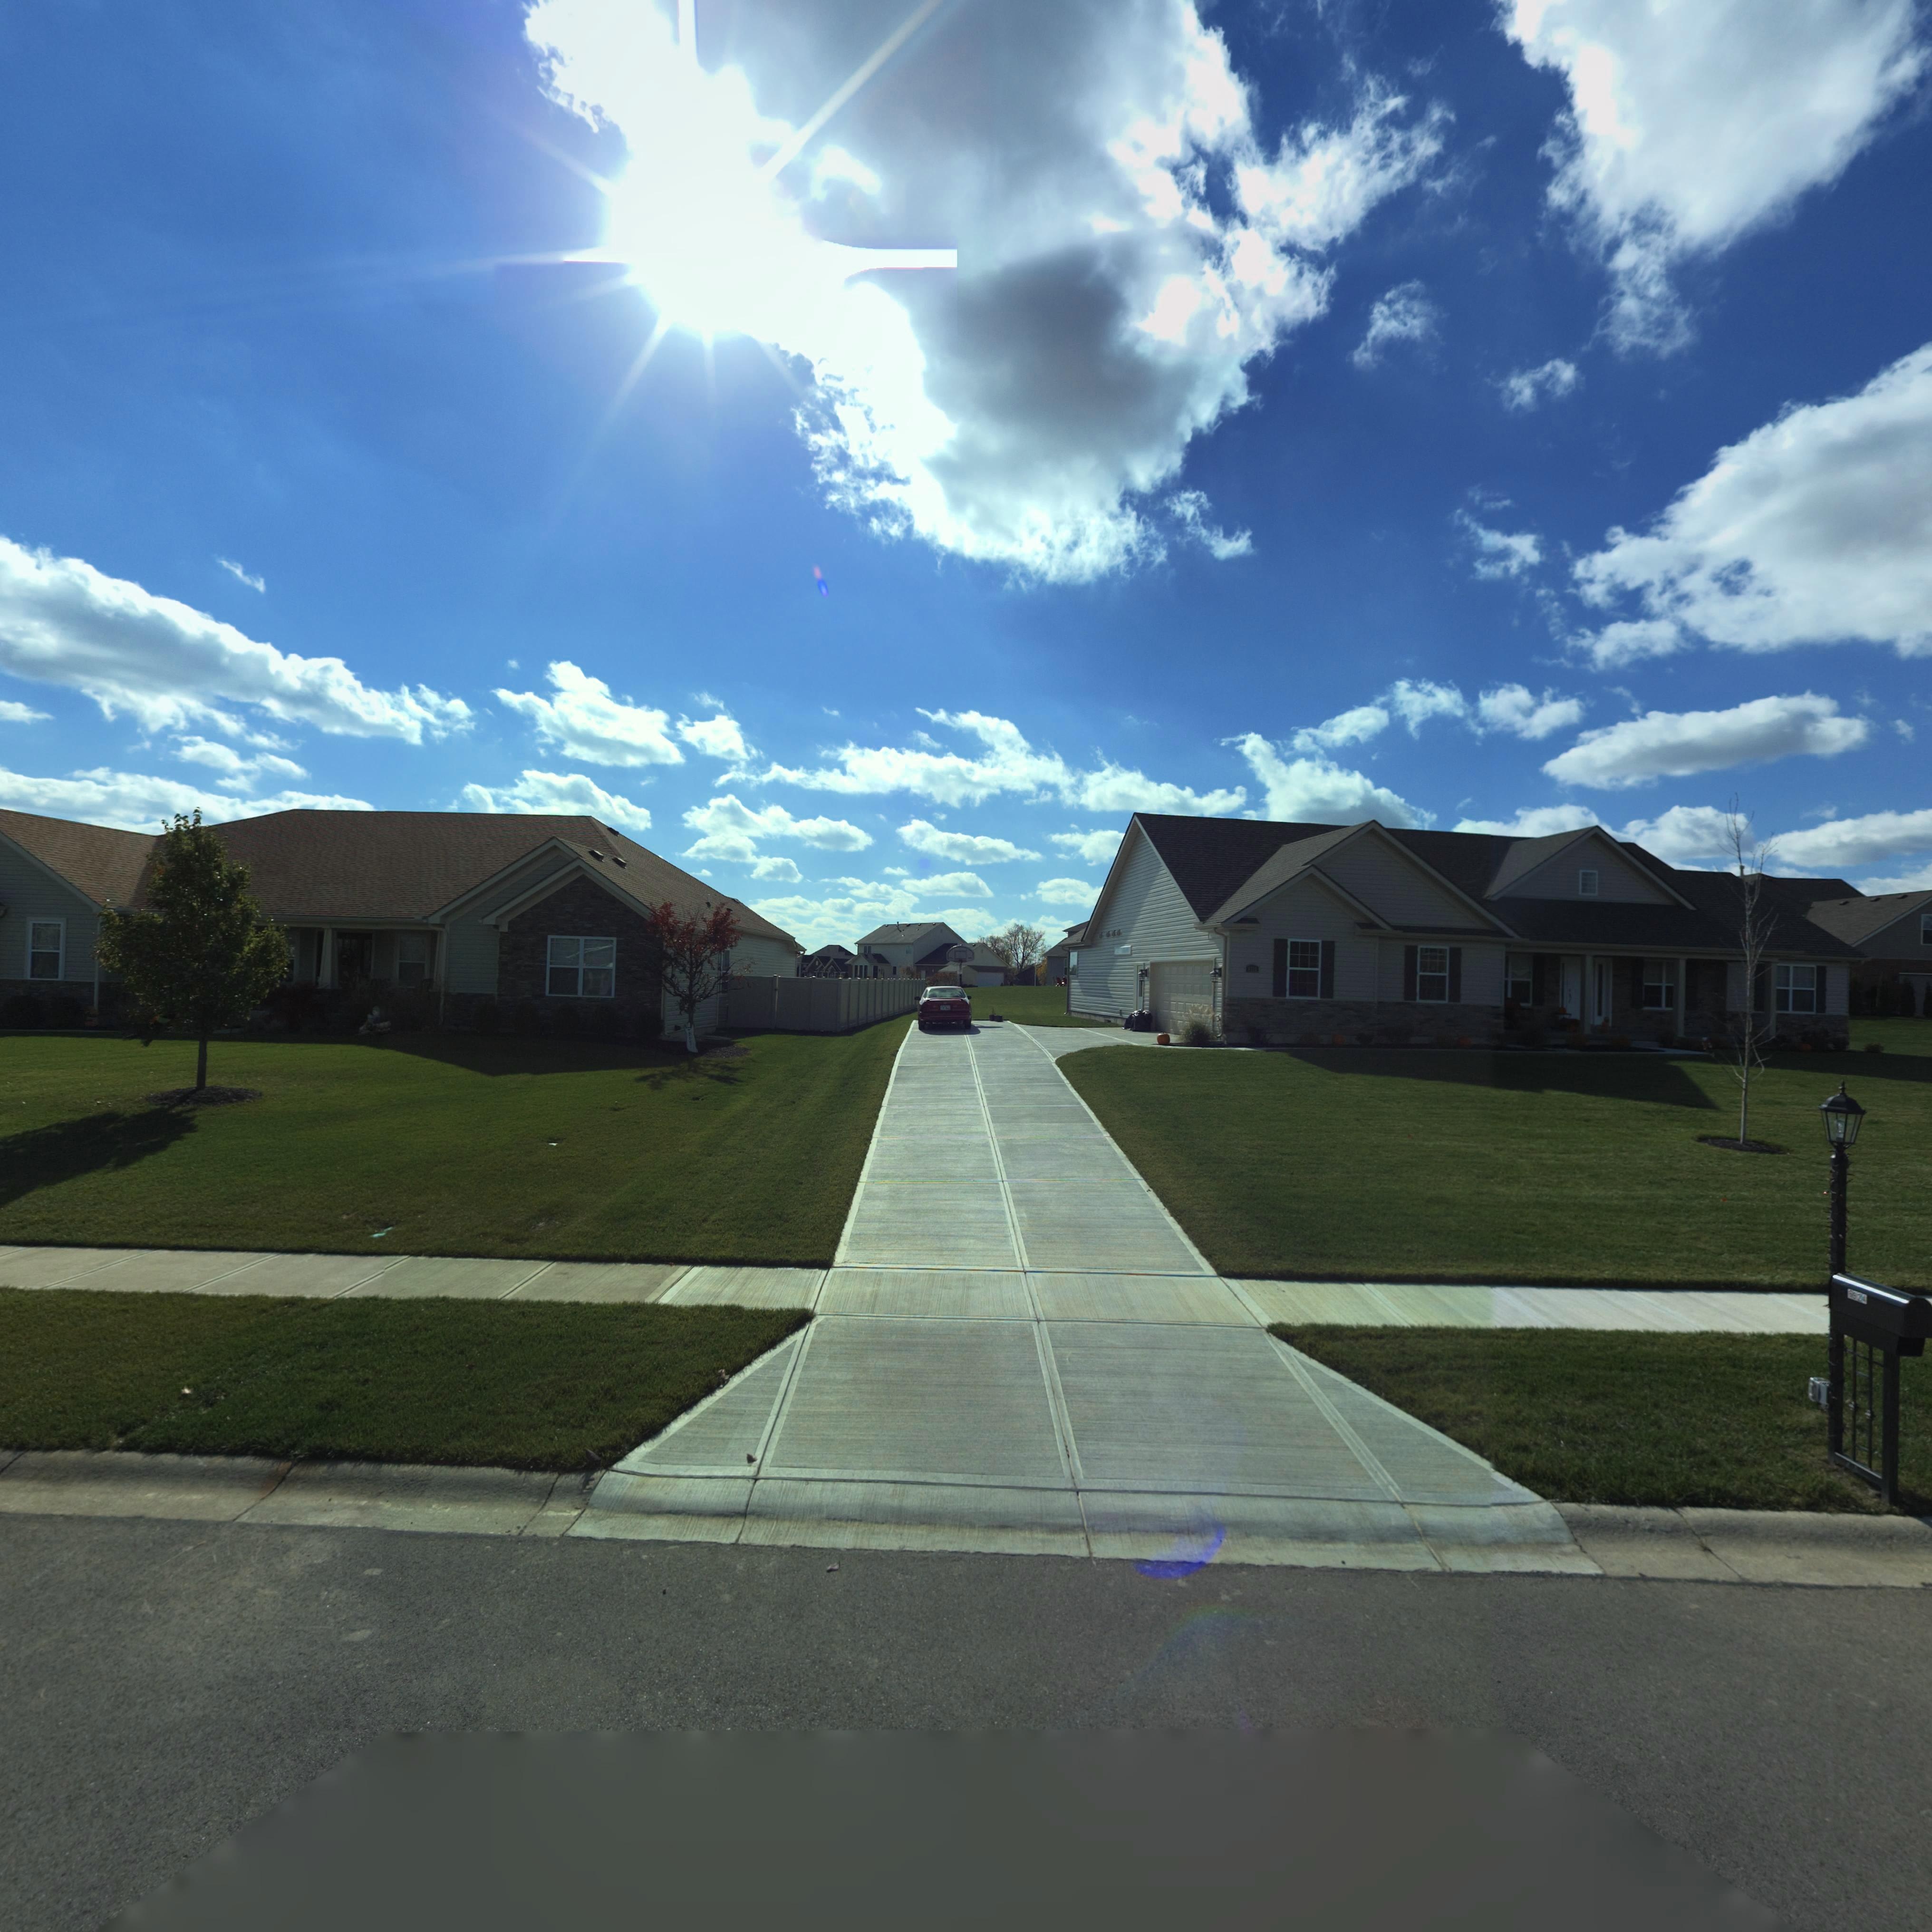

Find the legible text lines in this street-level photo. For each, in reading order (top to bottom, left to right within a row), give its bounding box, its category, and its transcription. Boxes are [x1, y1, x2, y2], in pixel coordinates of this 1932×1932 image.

[1248, 966, 1257, 972] StreetNumber: 6***
[1847, 1289, 1867, 1305] StreetNumber: 692*